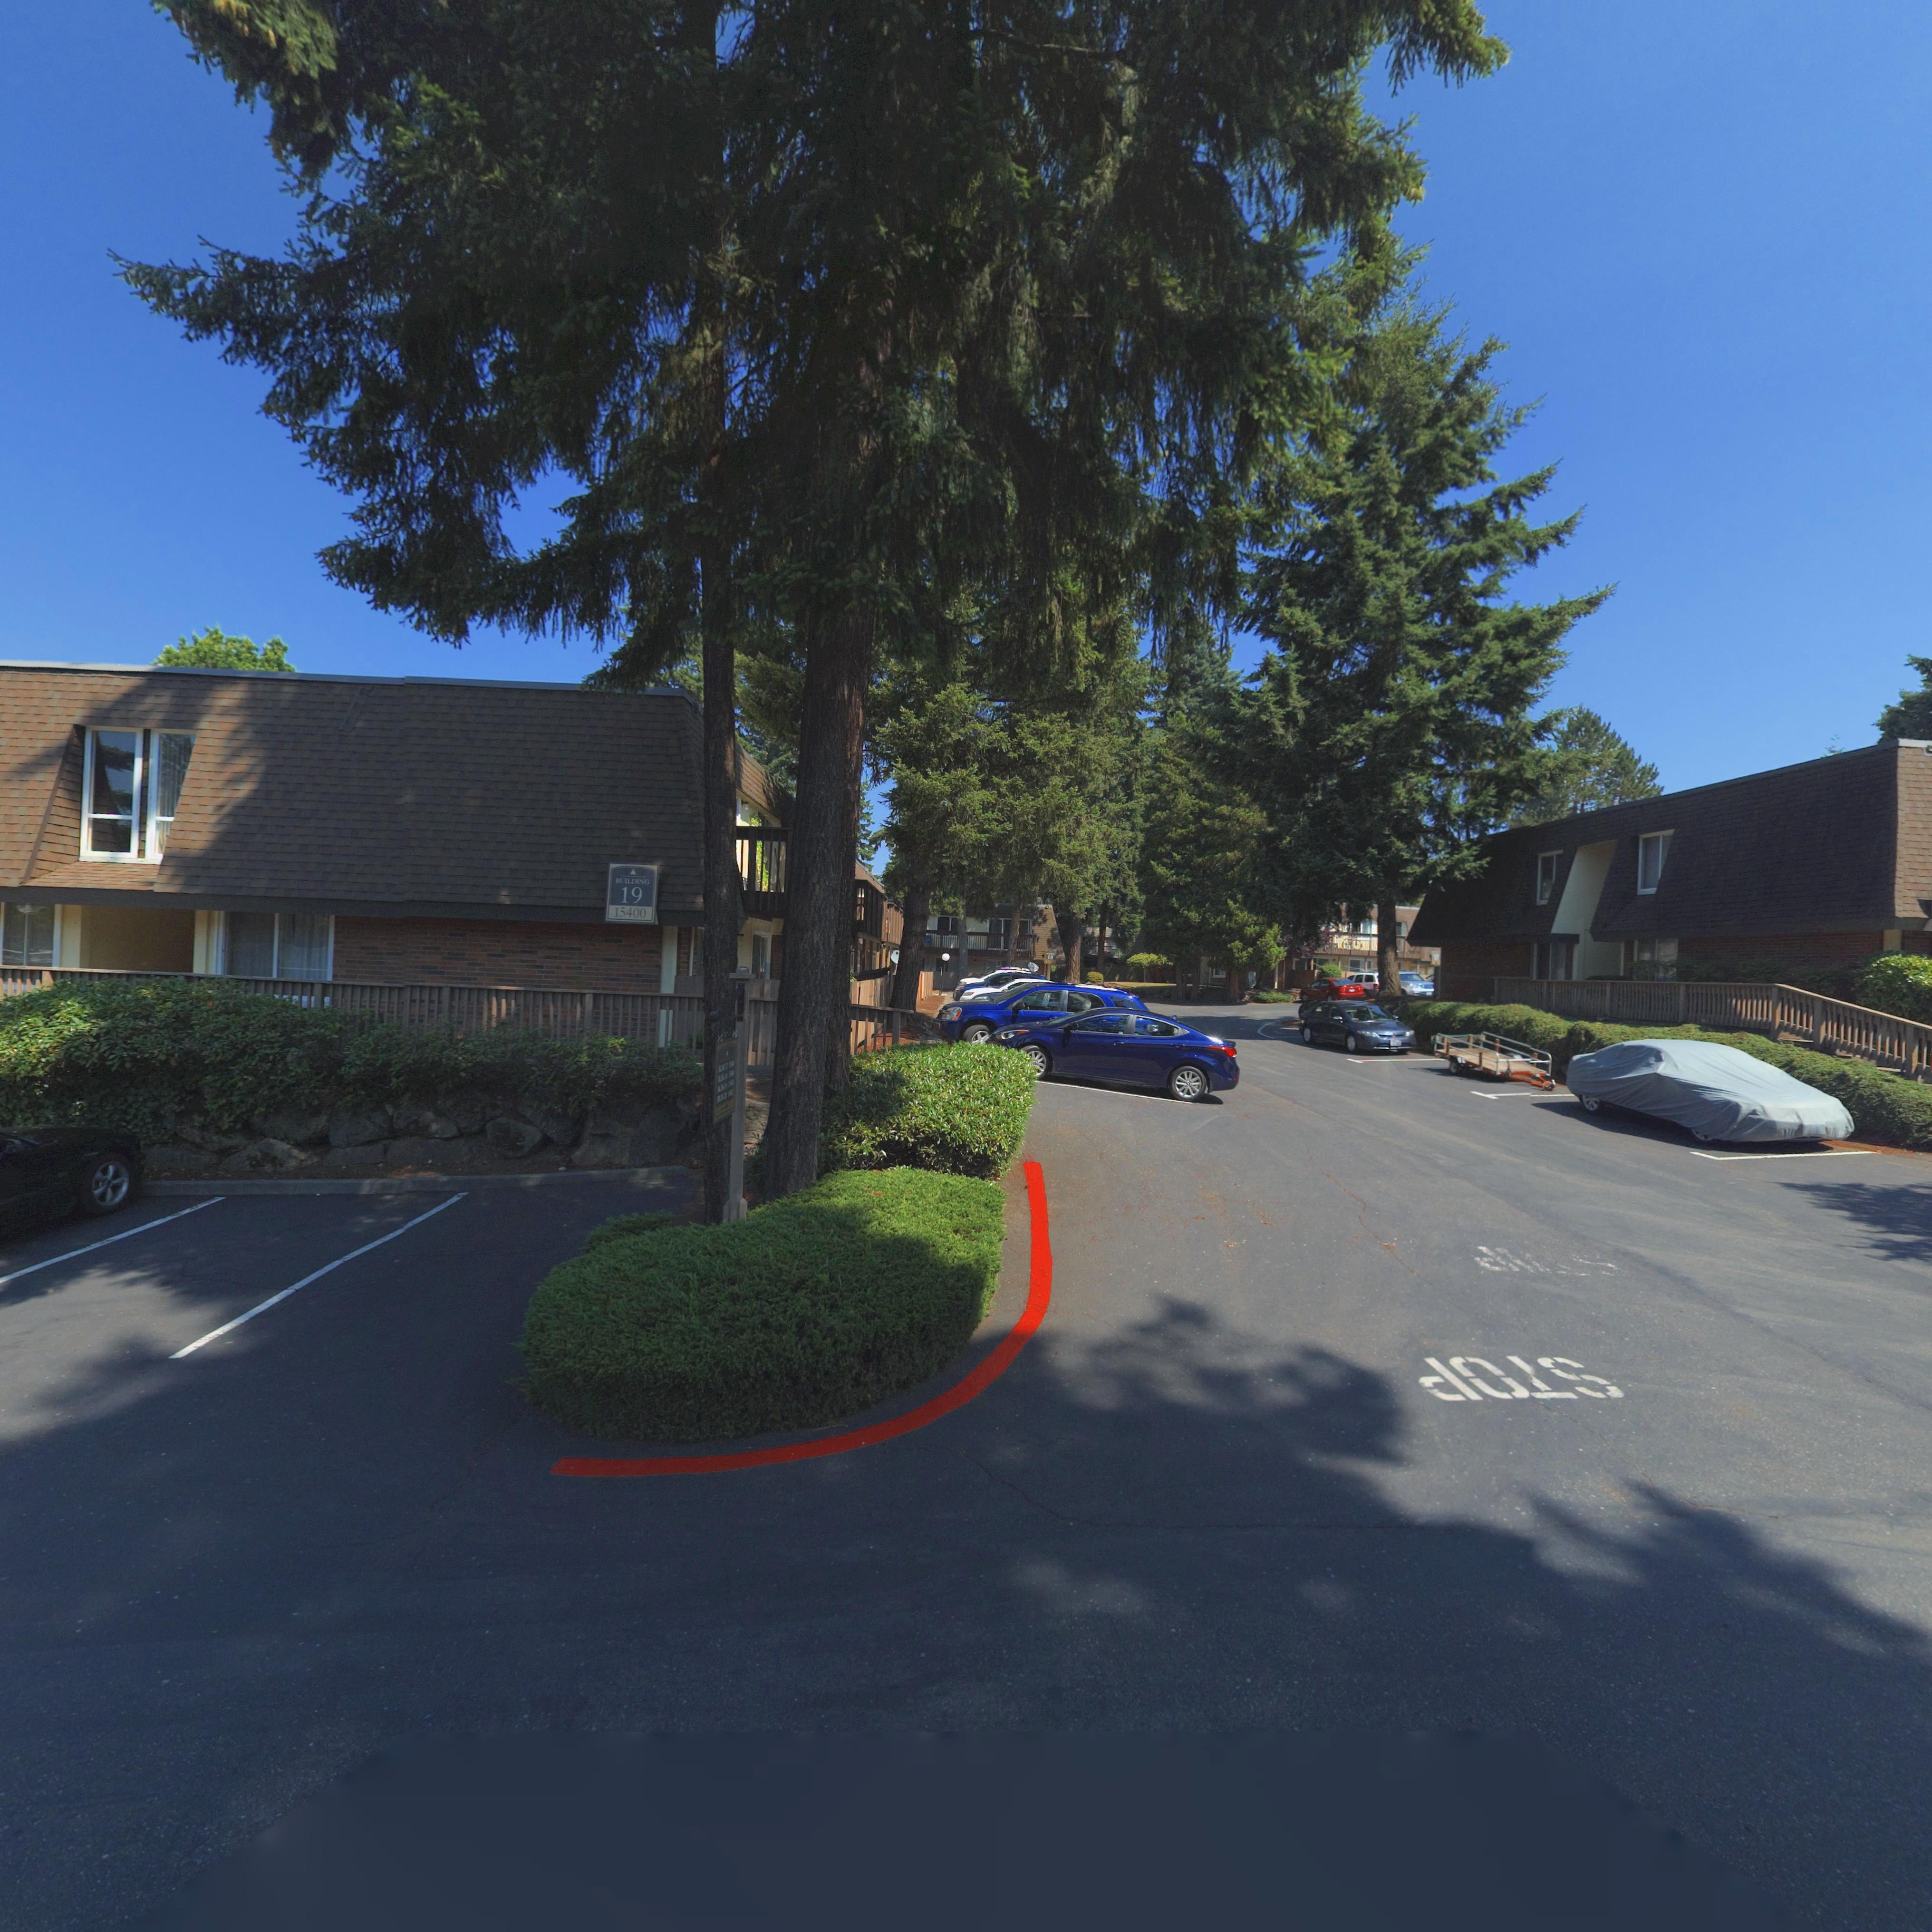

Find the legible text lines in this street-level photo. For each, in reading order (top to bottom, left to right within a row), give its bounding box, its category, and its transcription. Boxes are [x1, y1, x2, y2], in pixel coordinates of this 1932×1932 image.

[615, 876, 651, 905] SecondaryUnitDesignator: BUILDING 19
[614, 906, 647, 918] StreetNumber: 15400